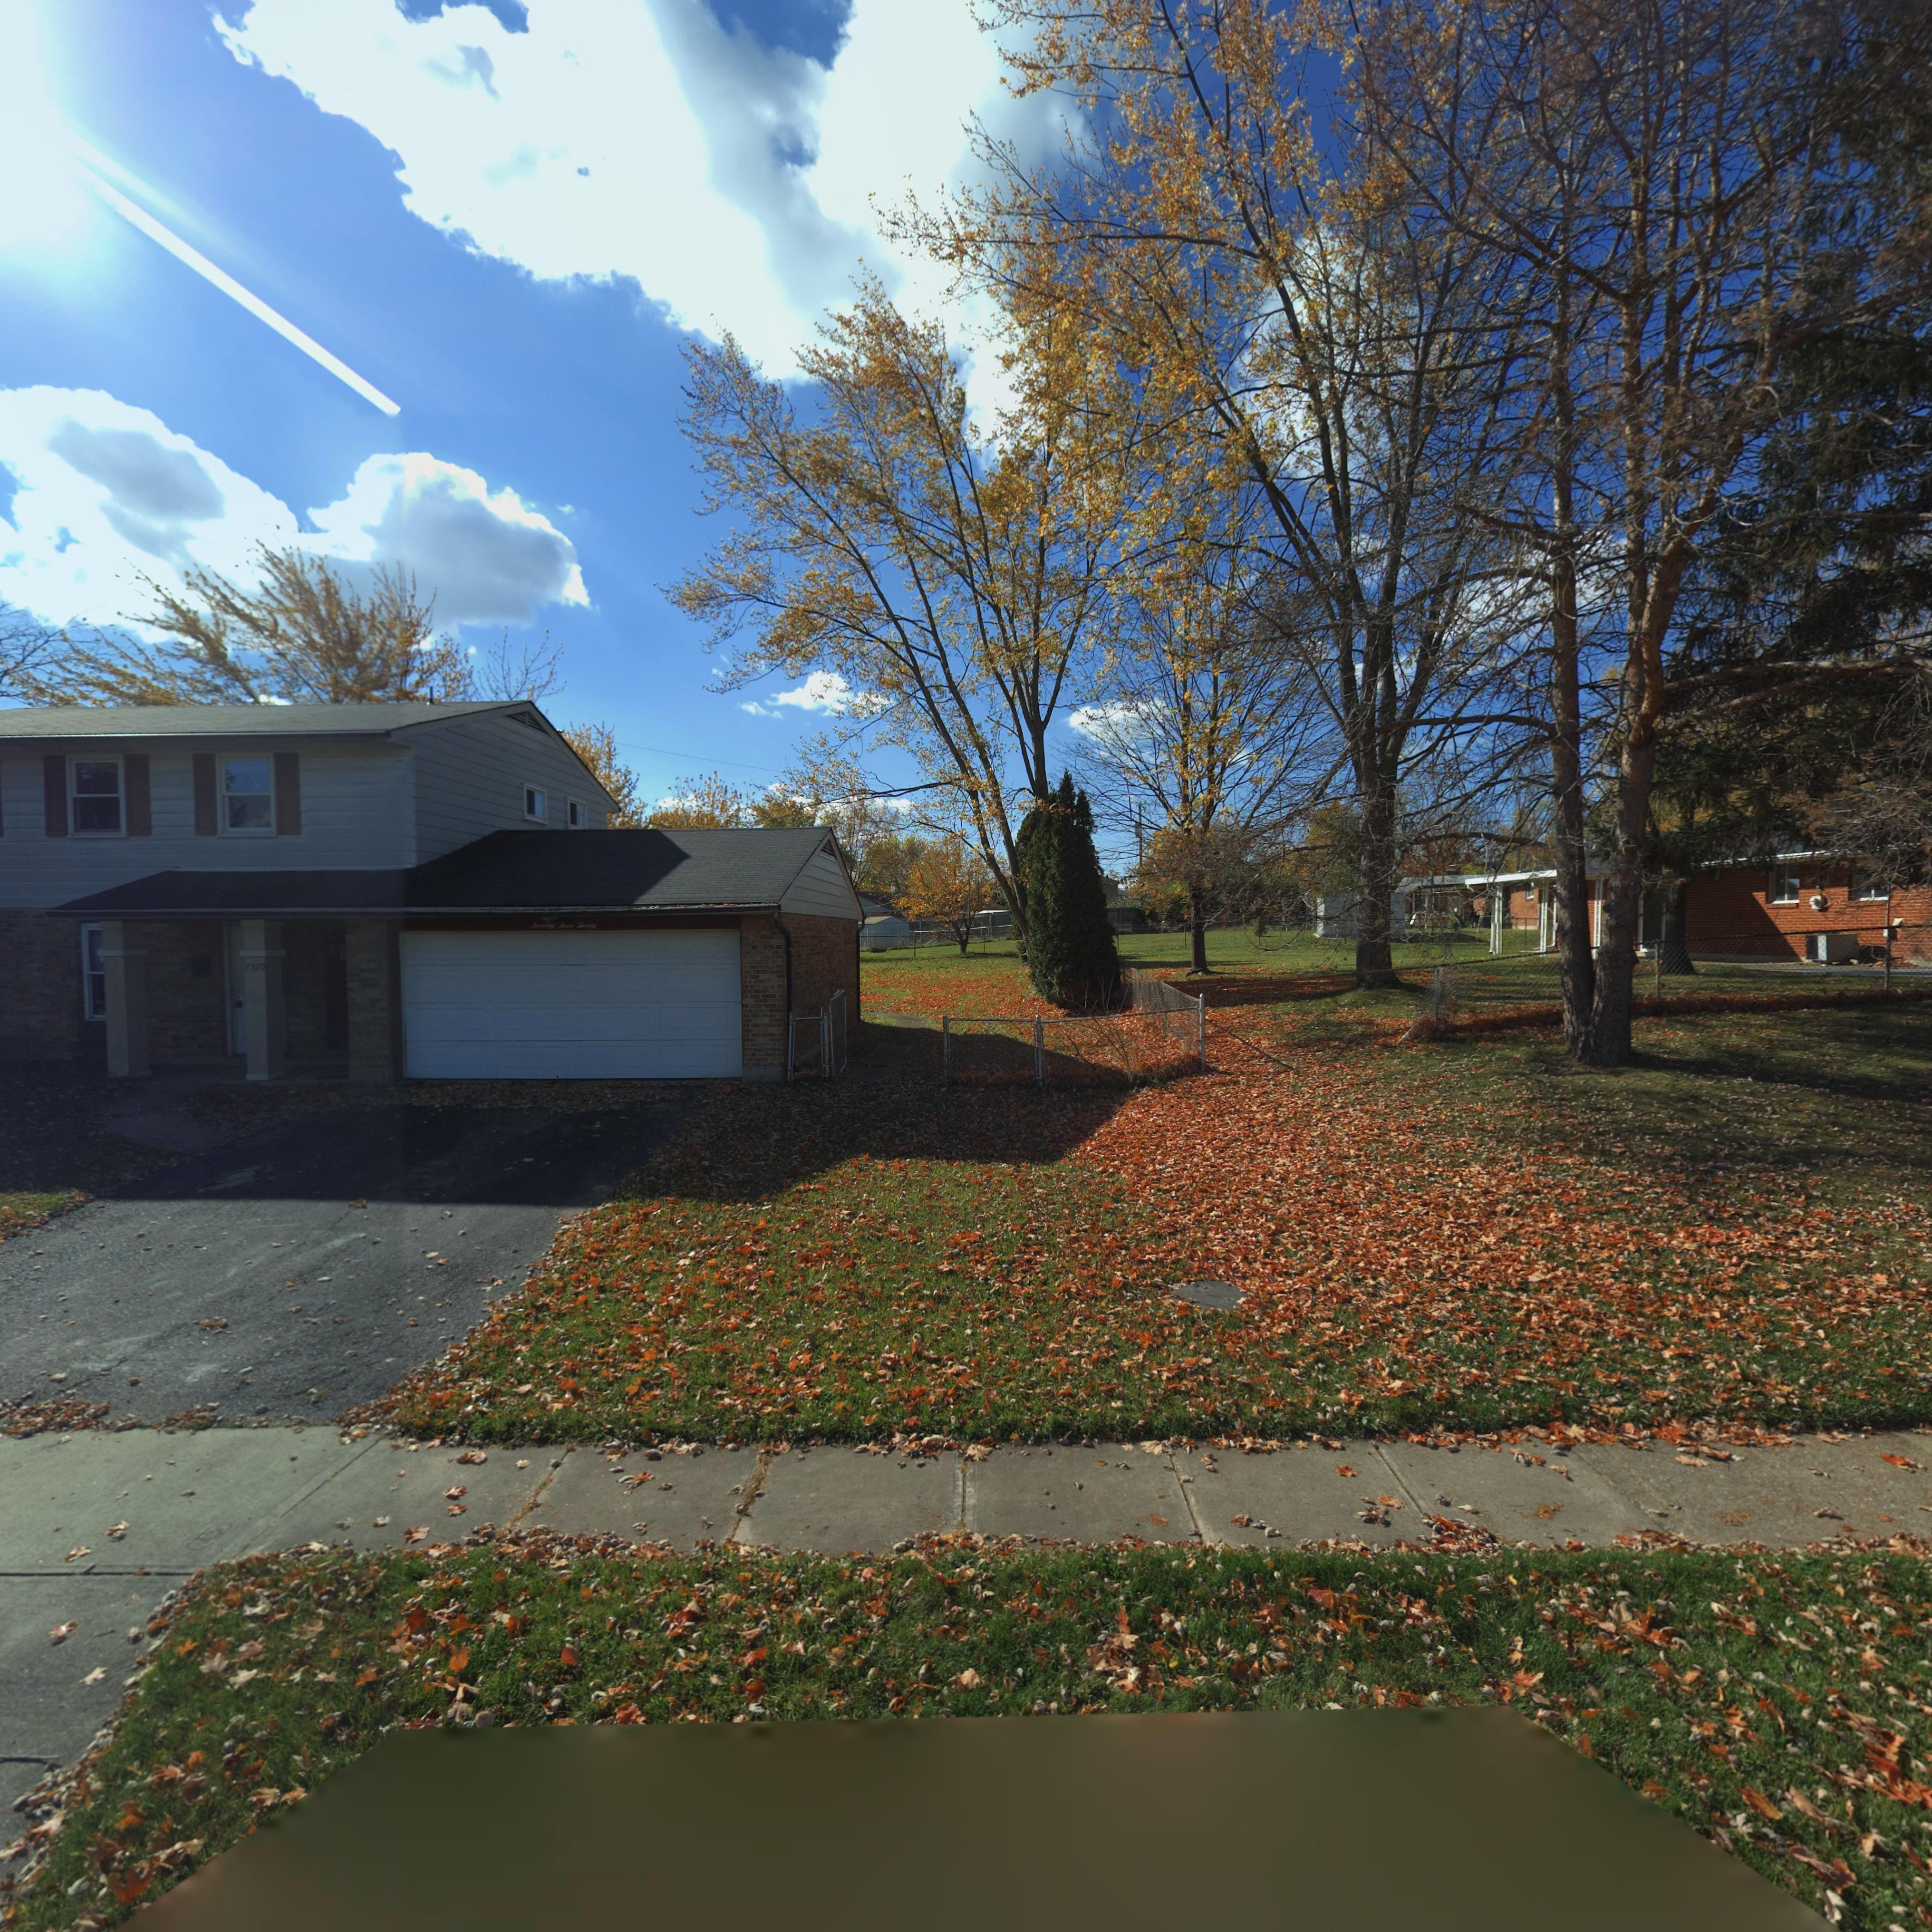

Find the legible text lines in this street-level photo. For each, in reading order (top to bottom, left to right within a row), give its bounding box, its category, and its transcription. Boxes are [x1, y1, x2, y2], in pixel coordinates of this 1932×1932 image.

[244, 962, 266, 973] StreetNumber: 7320